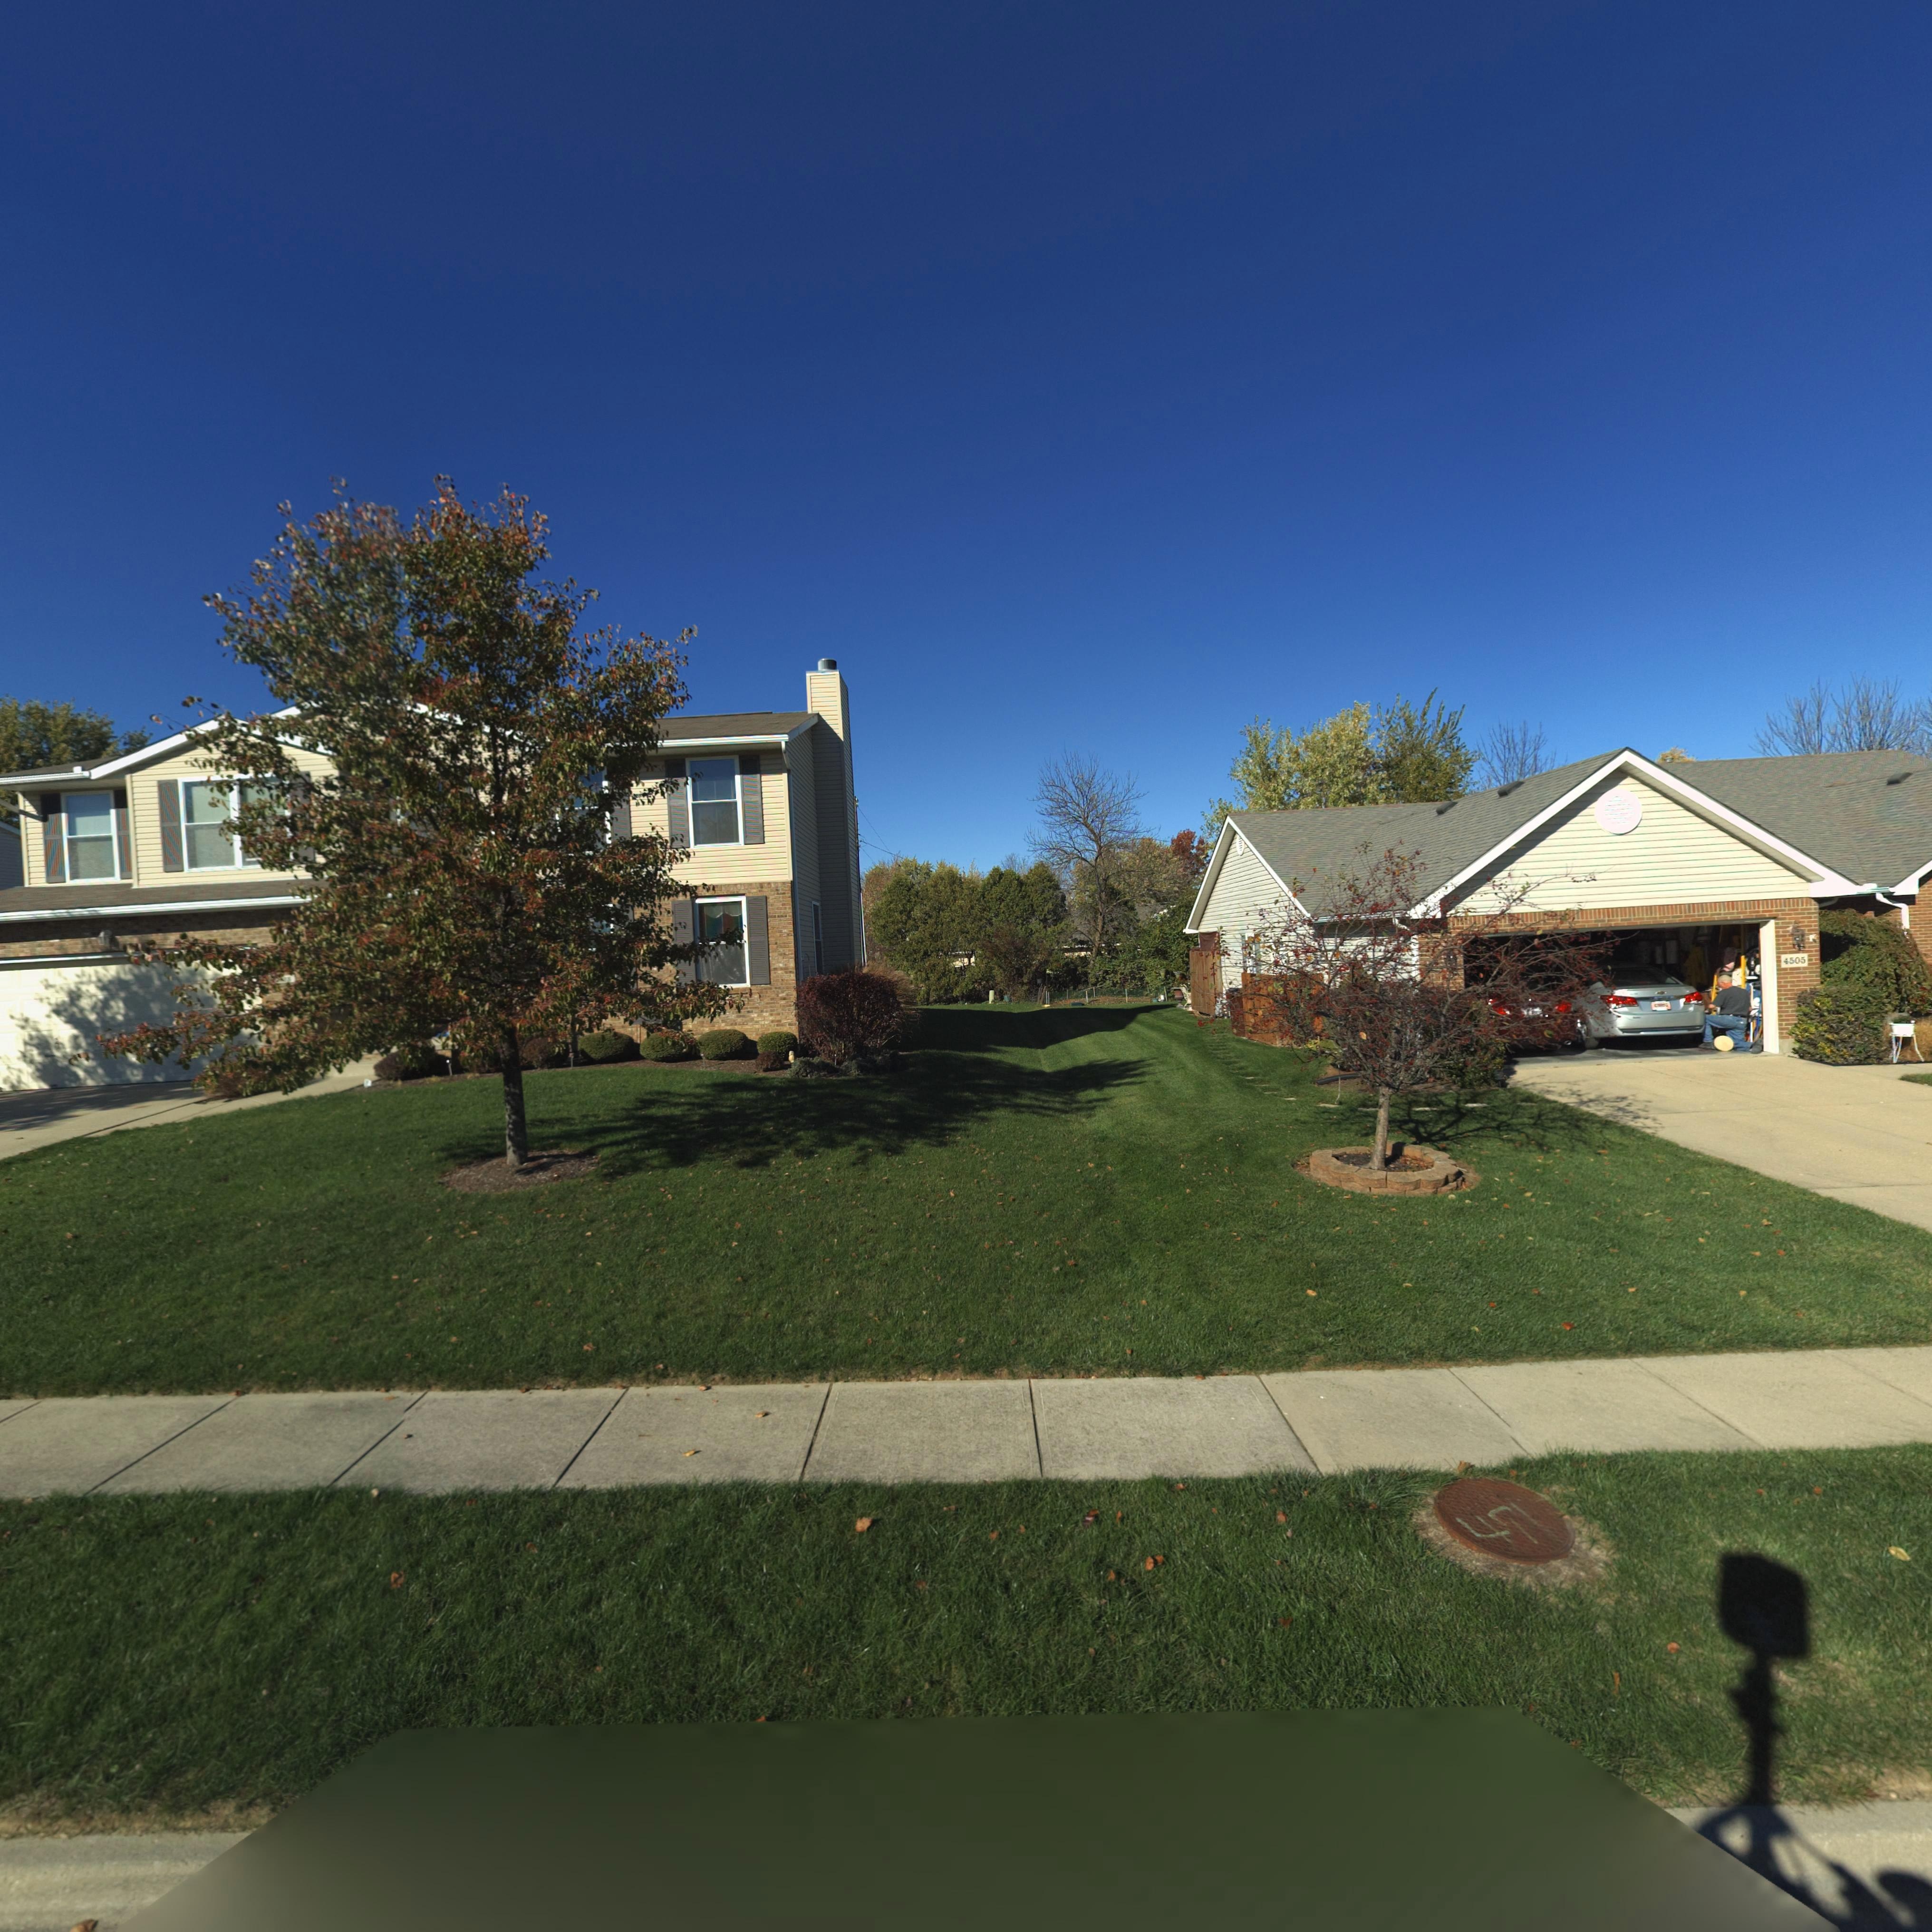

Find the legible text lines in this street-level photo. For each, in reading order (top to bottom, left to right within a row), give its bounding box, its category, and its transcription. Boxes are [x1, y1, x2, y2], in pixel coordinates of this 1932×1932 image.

[1782, 955, 1807, 966] StreetNumber: 4505